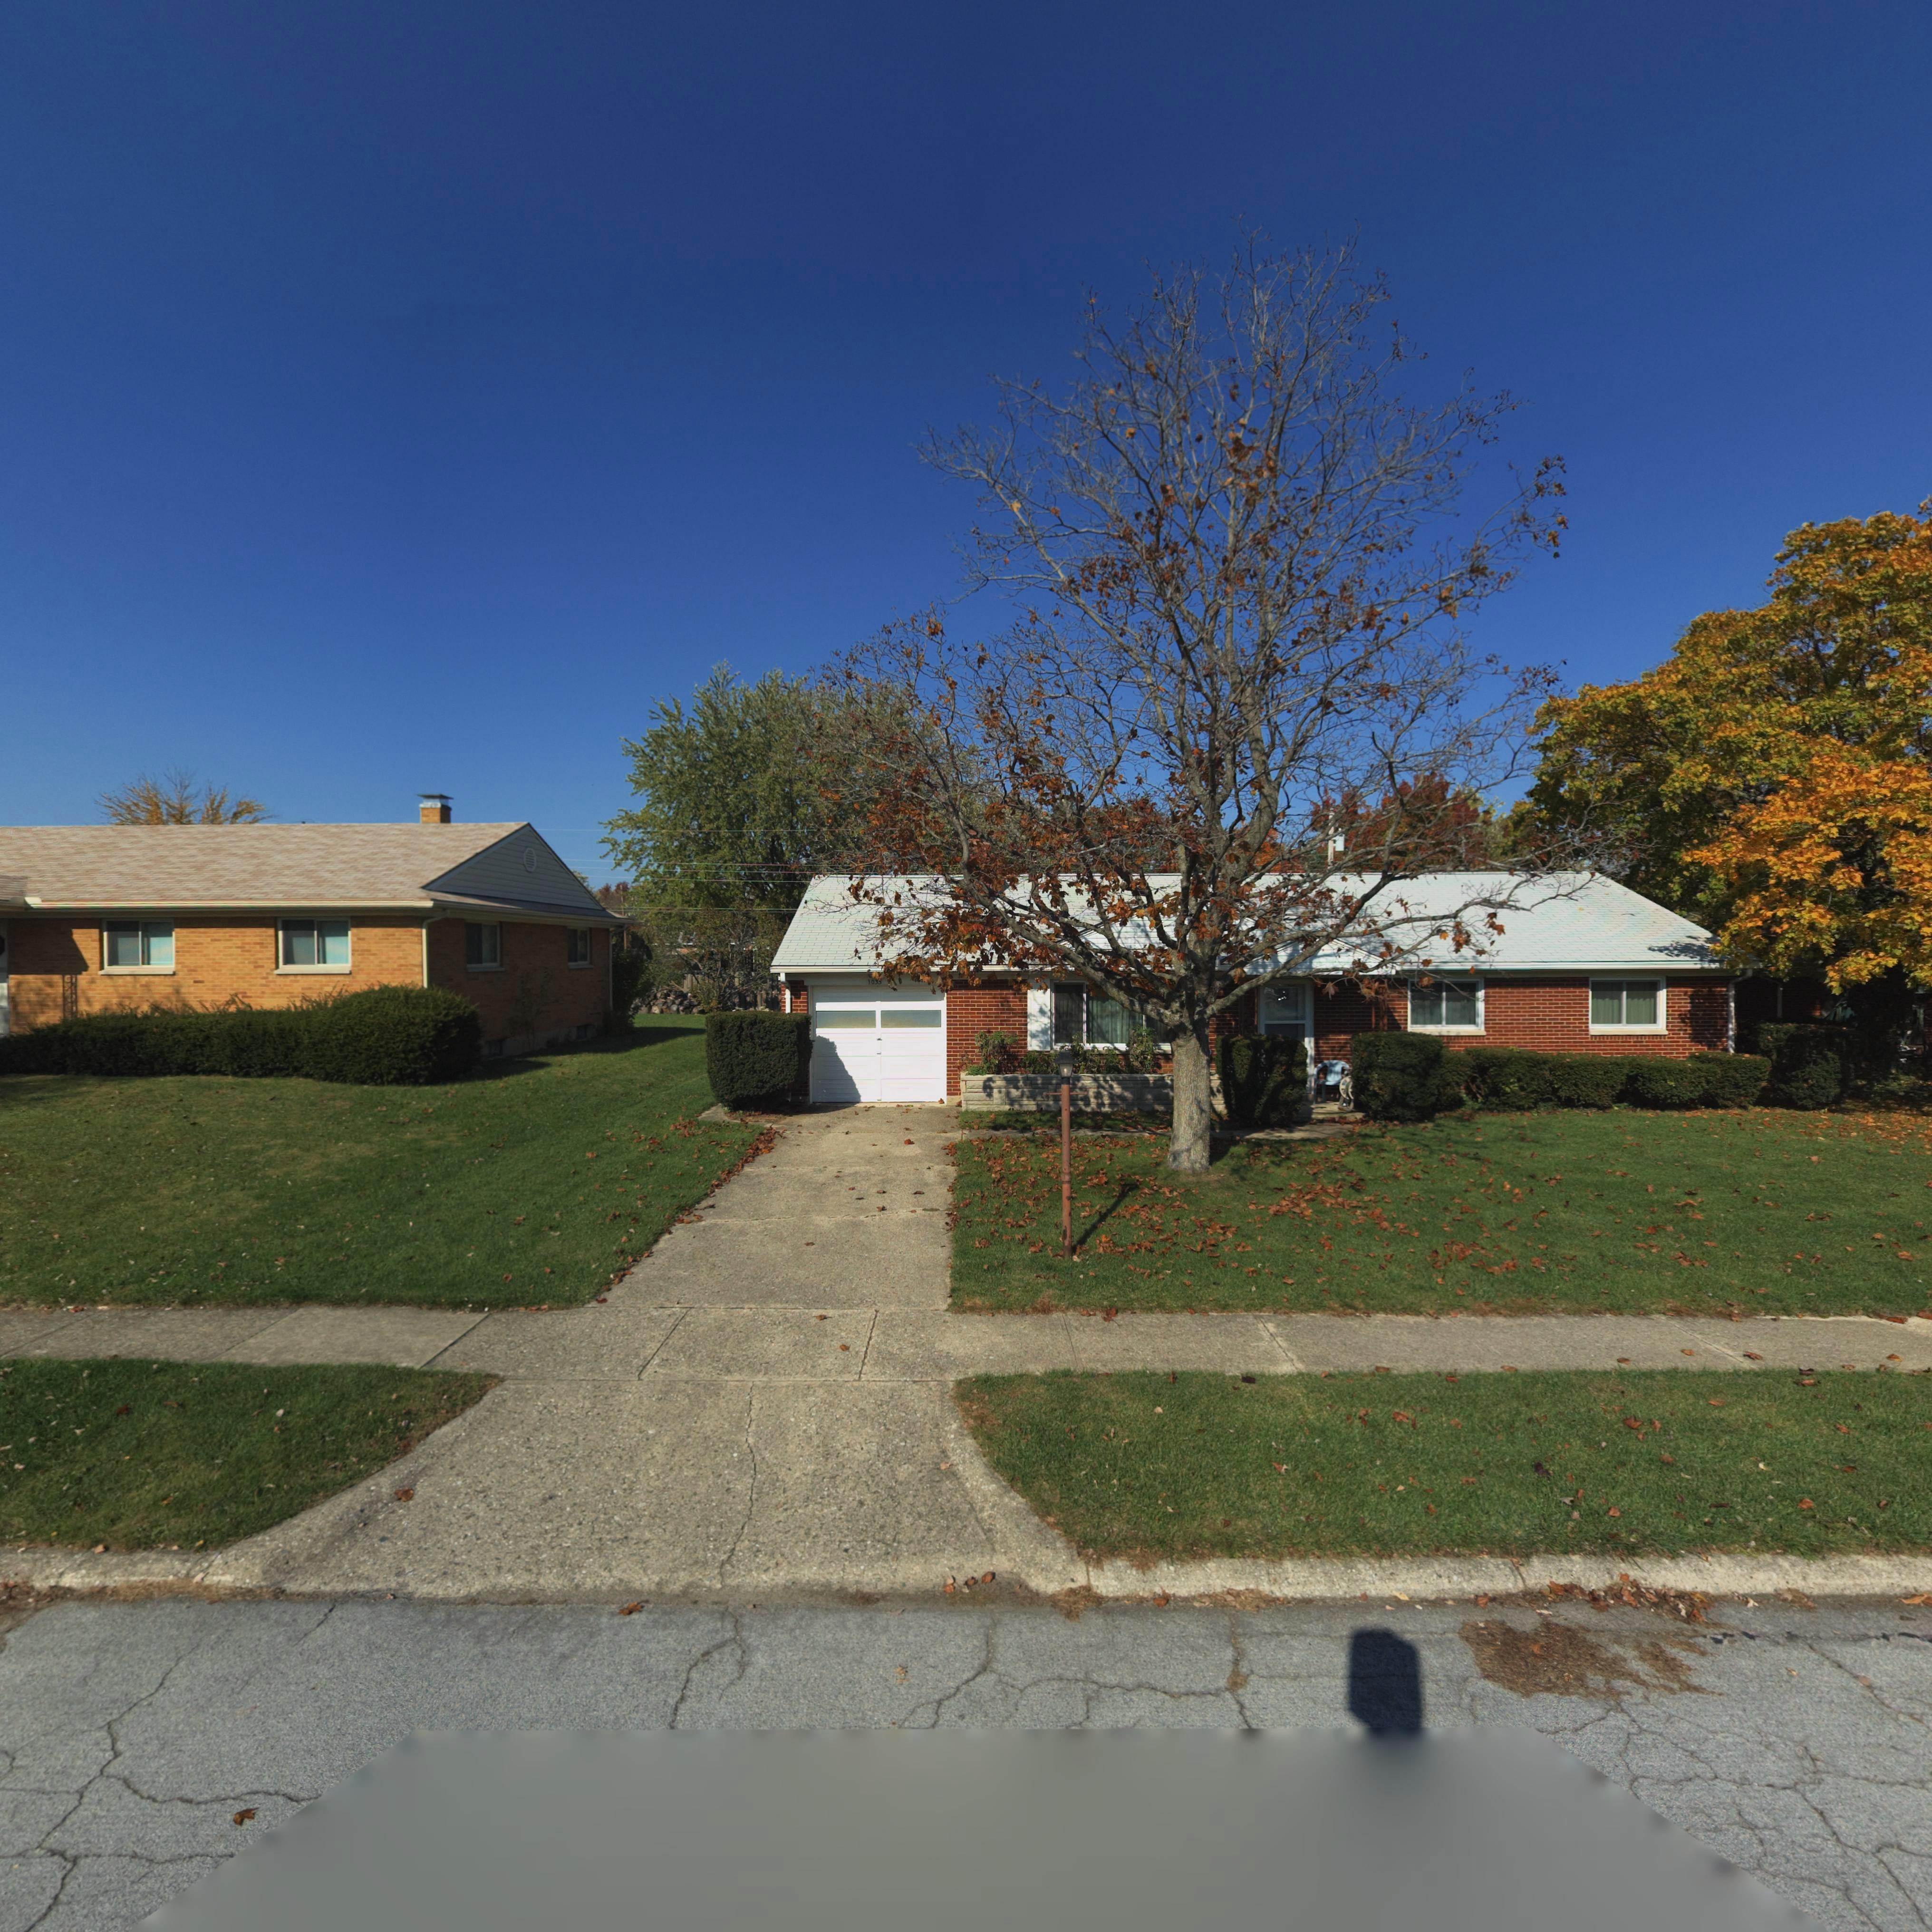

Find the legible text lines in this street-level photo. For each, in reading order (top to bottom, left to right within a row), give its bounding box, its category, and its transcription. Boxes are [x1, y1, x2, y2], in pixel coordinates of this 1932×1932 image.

[867, 978, 883, 985] StreetNumber: 103*